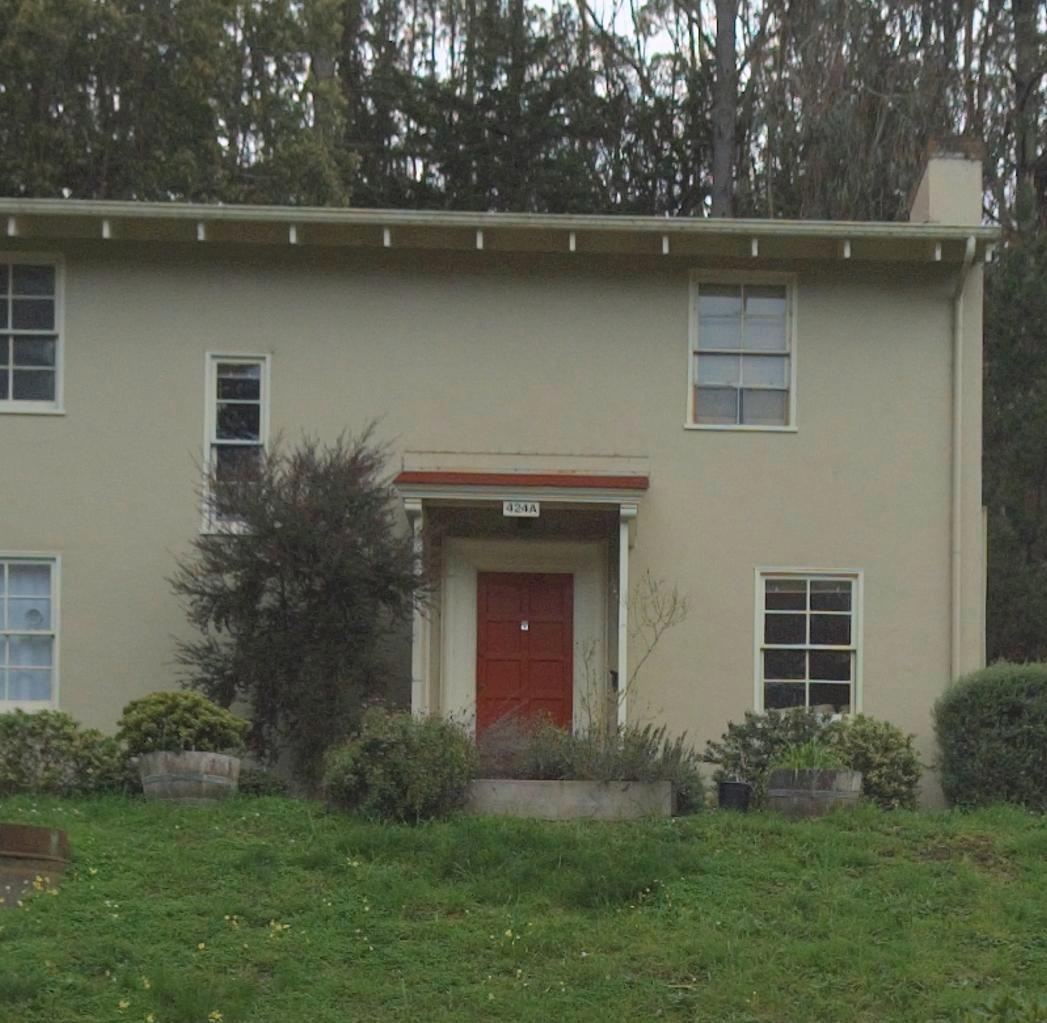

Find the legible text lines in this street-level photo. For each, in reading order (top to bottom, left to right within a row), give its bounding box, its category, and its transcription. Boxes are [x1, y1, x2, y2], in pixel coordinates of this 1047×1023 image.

[506, 501, 538, 515] StreetNumber: 424A